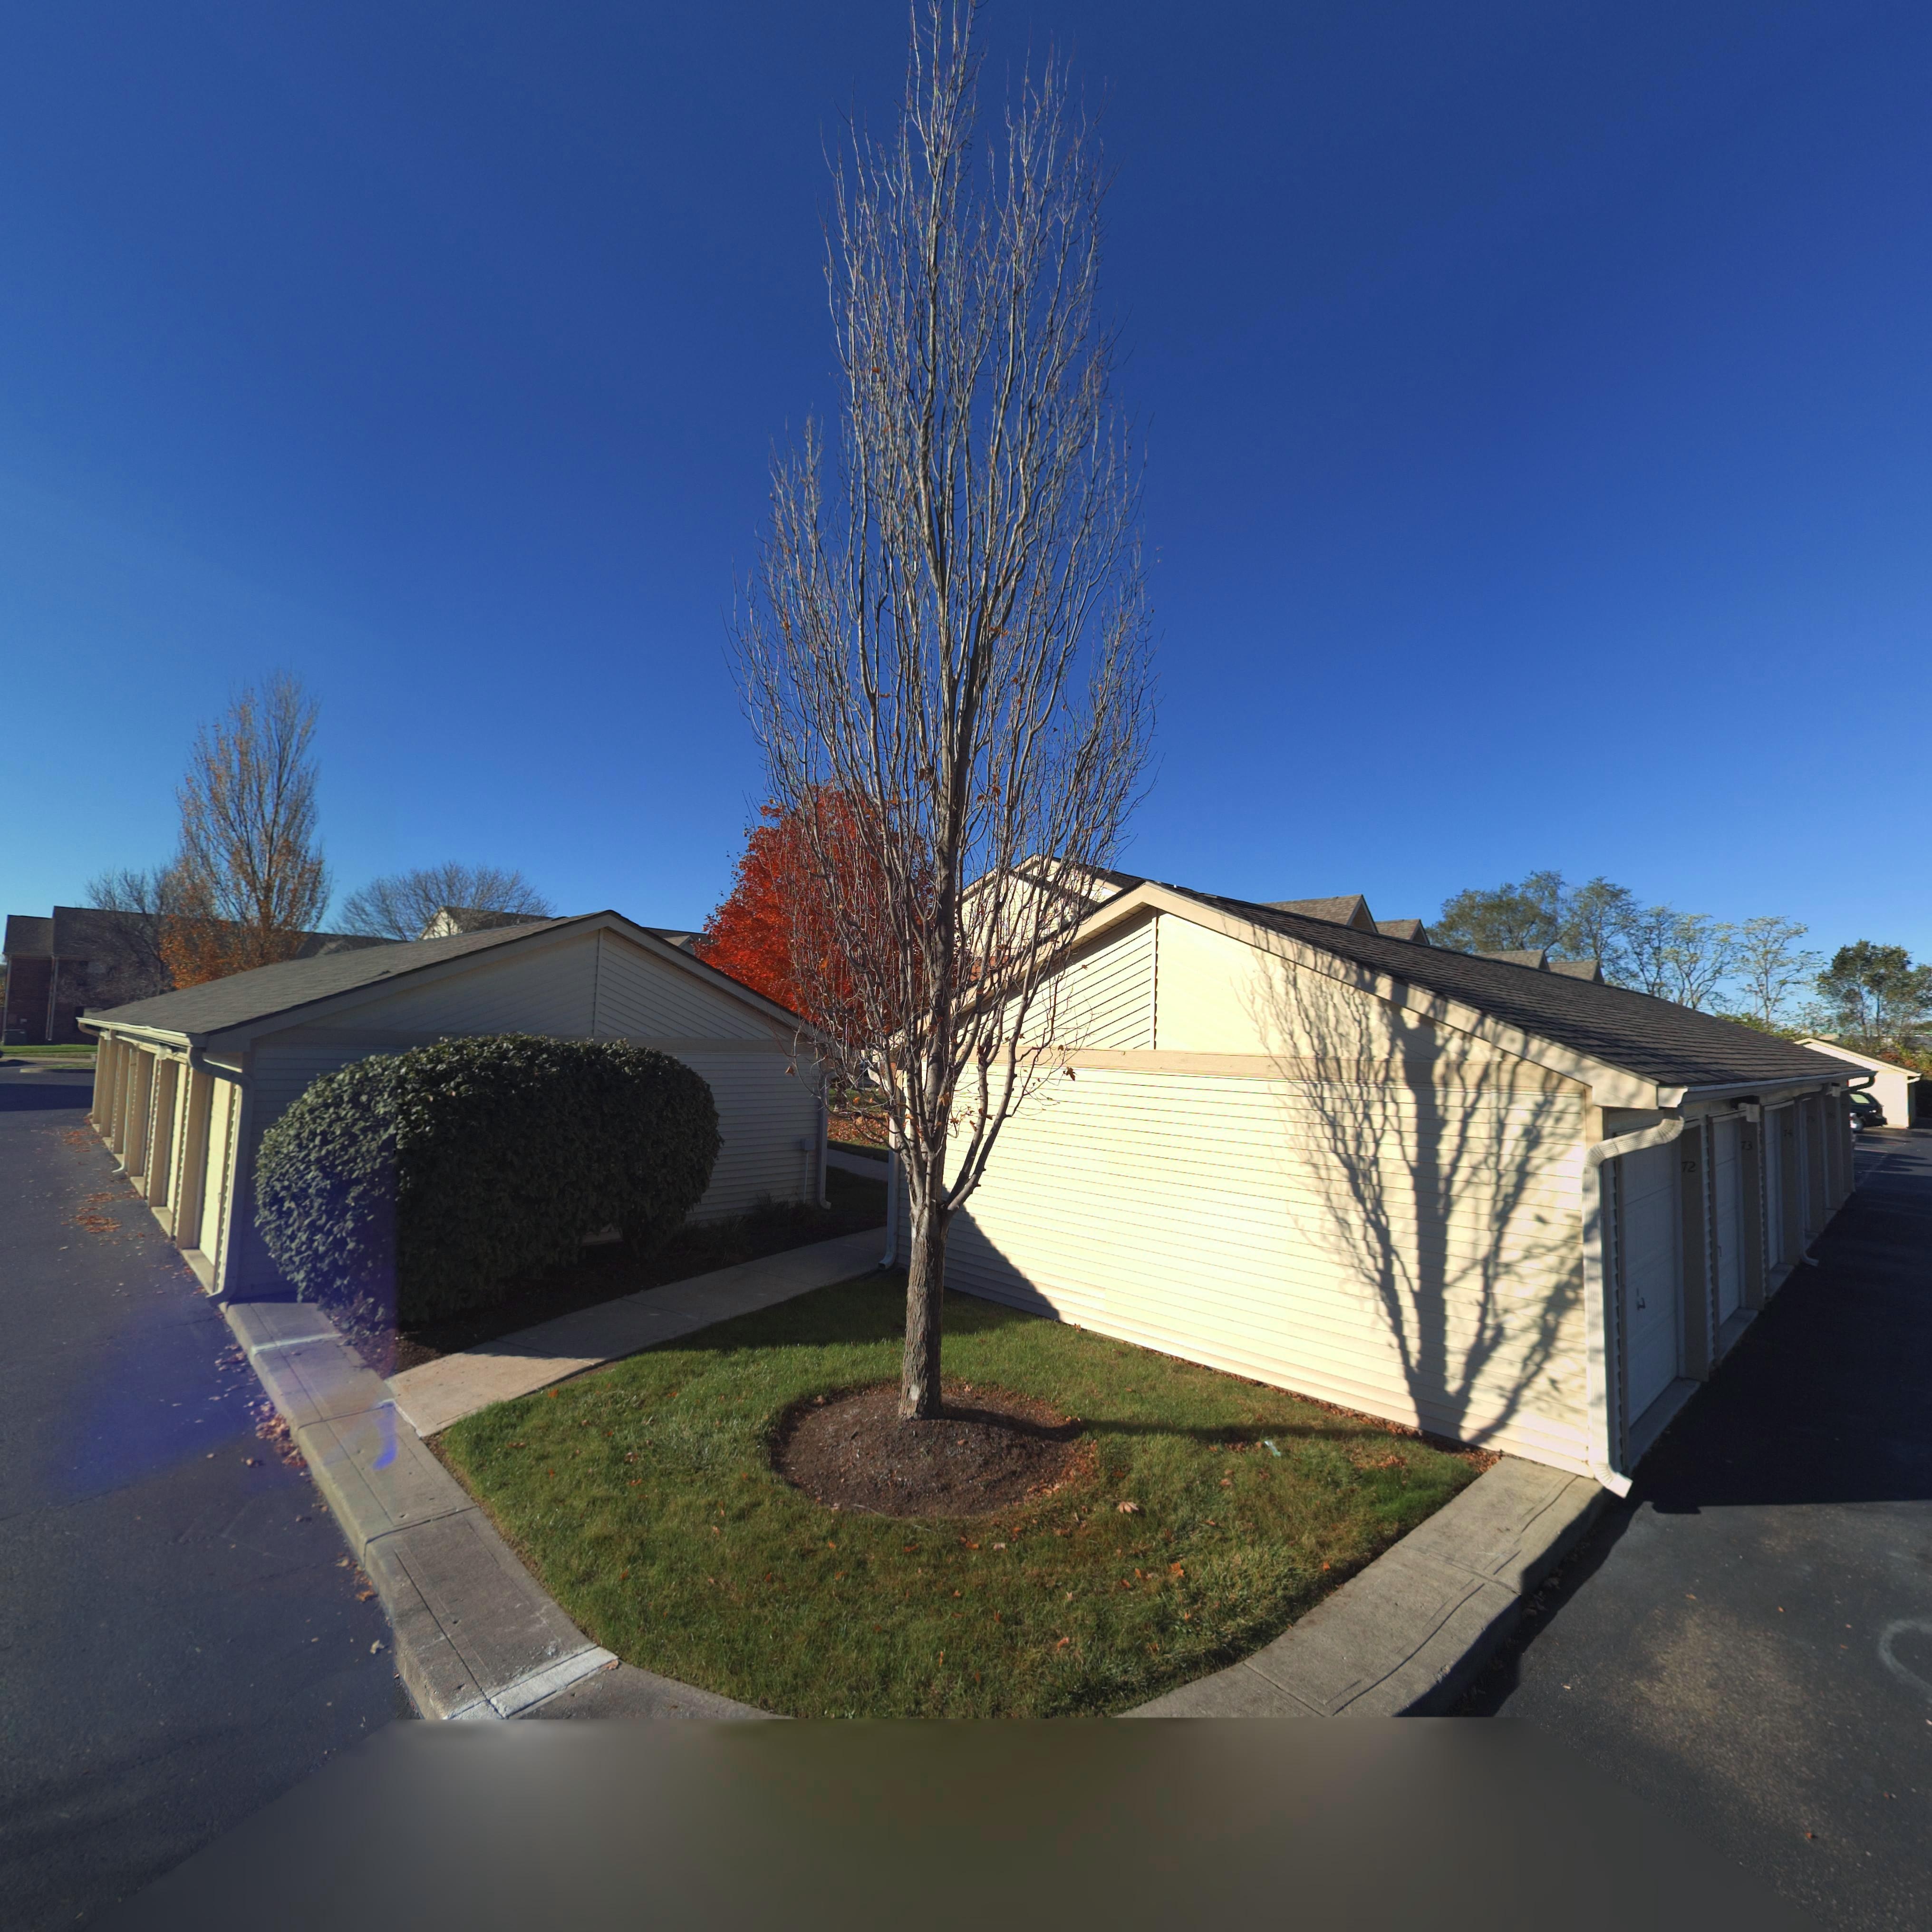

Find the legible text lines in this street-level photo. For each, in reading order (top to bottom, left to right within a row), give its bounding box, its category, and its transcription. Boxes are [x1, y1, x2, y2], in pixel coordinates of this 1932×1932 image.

[1805, 1114, 1815, 1122] StreetNumber: 75
[1826, 1111, 1835, 1119] StreetNumber: 76
[1782, 1128, 1793, 1137] StreetNumber: 74
[1739, 1139, 1753, 1150] StreetNumber: 73
[1681, 1161, 1698, 1174] StreetNumber: 72